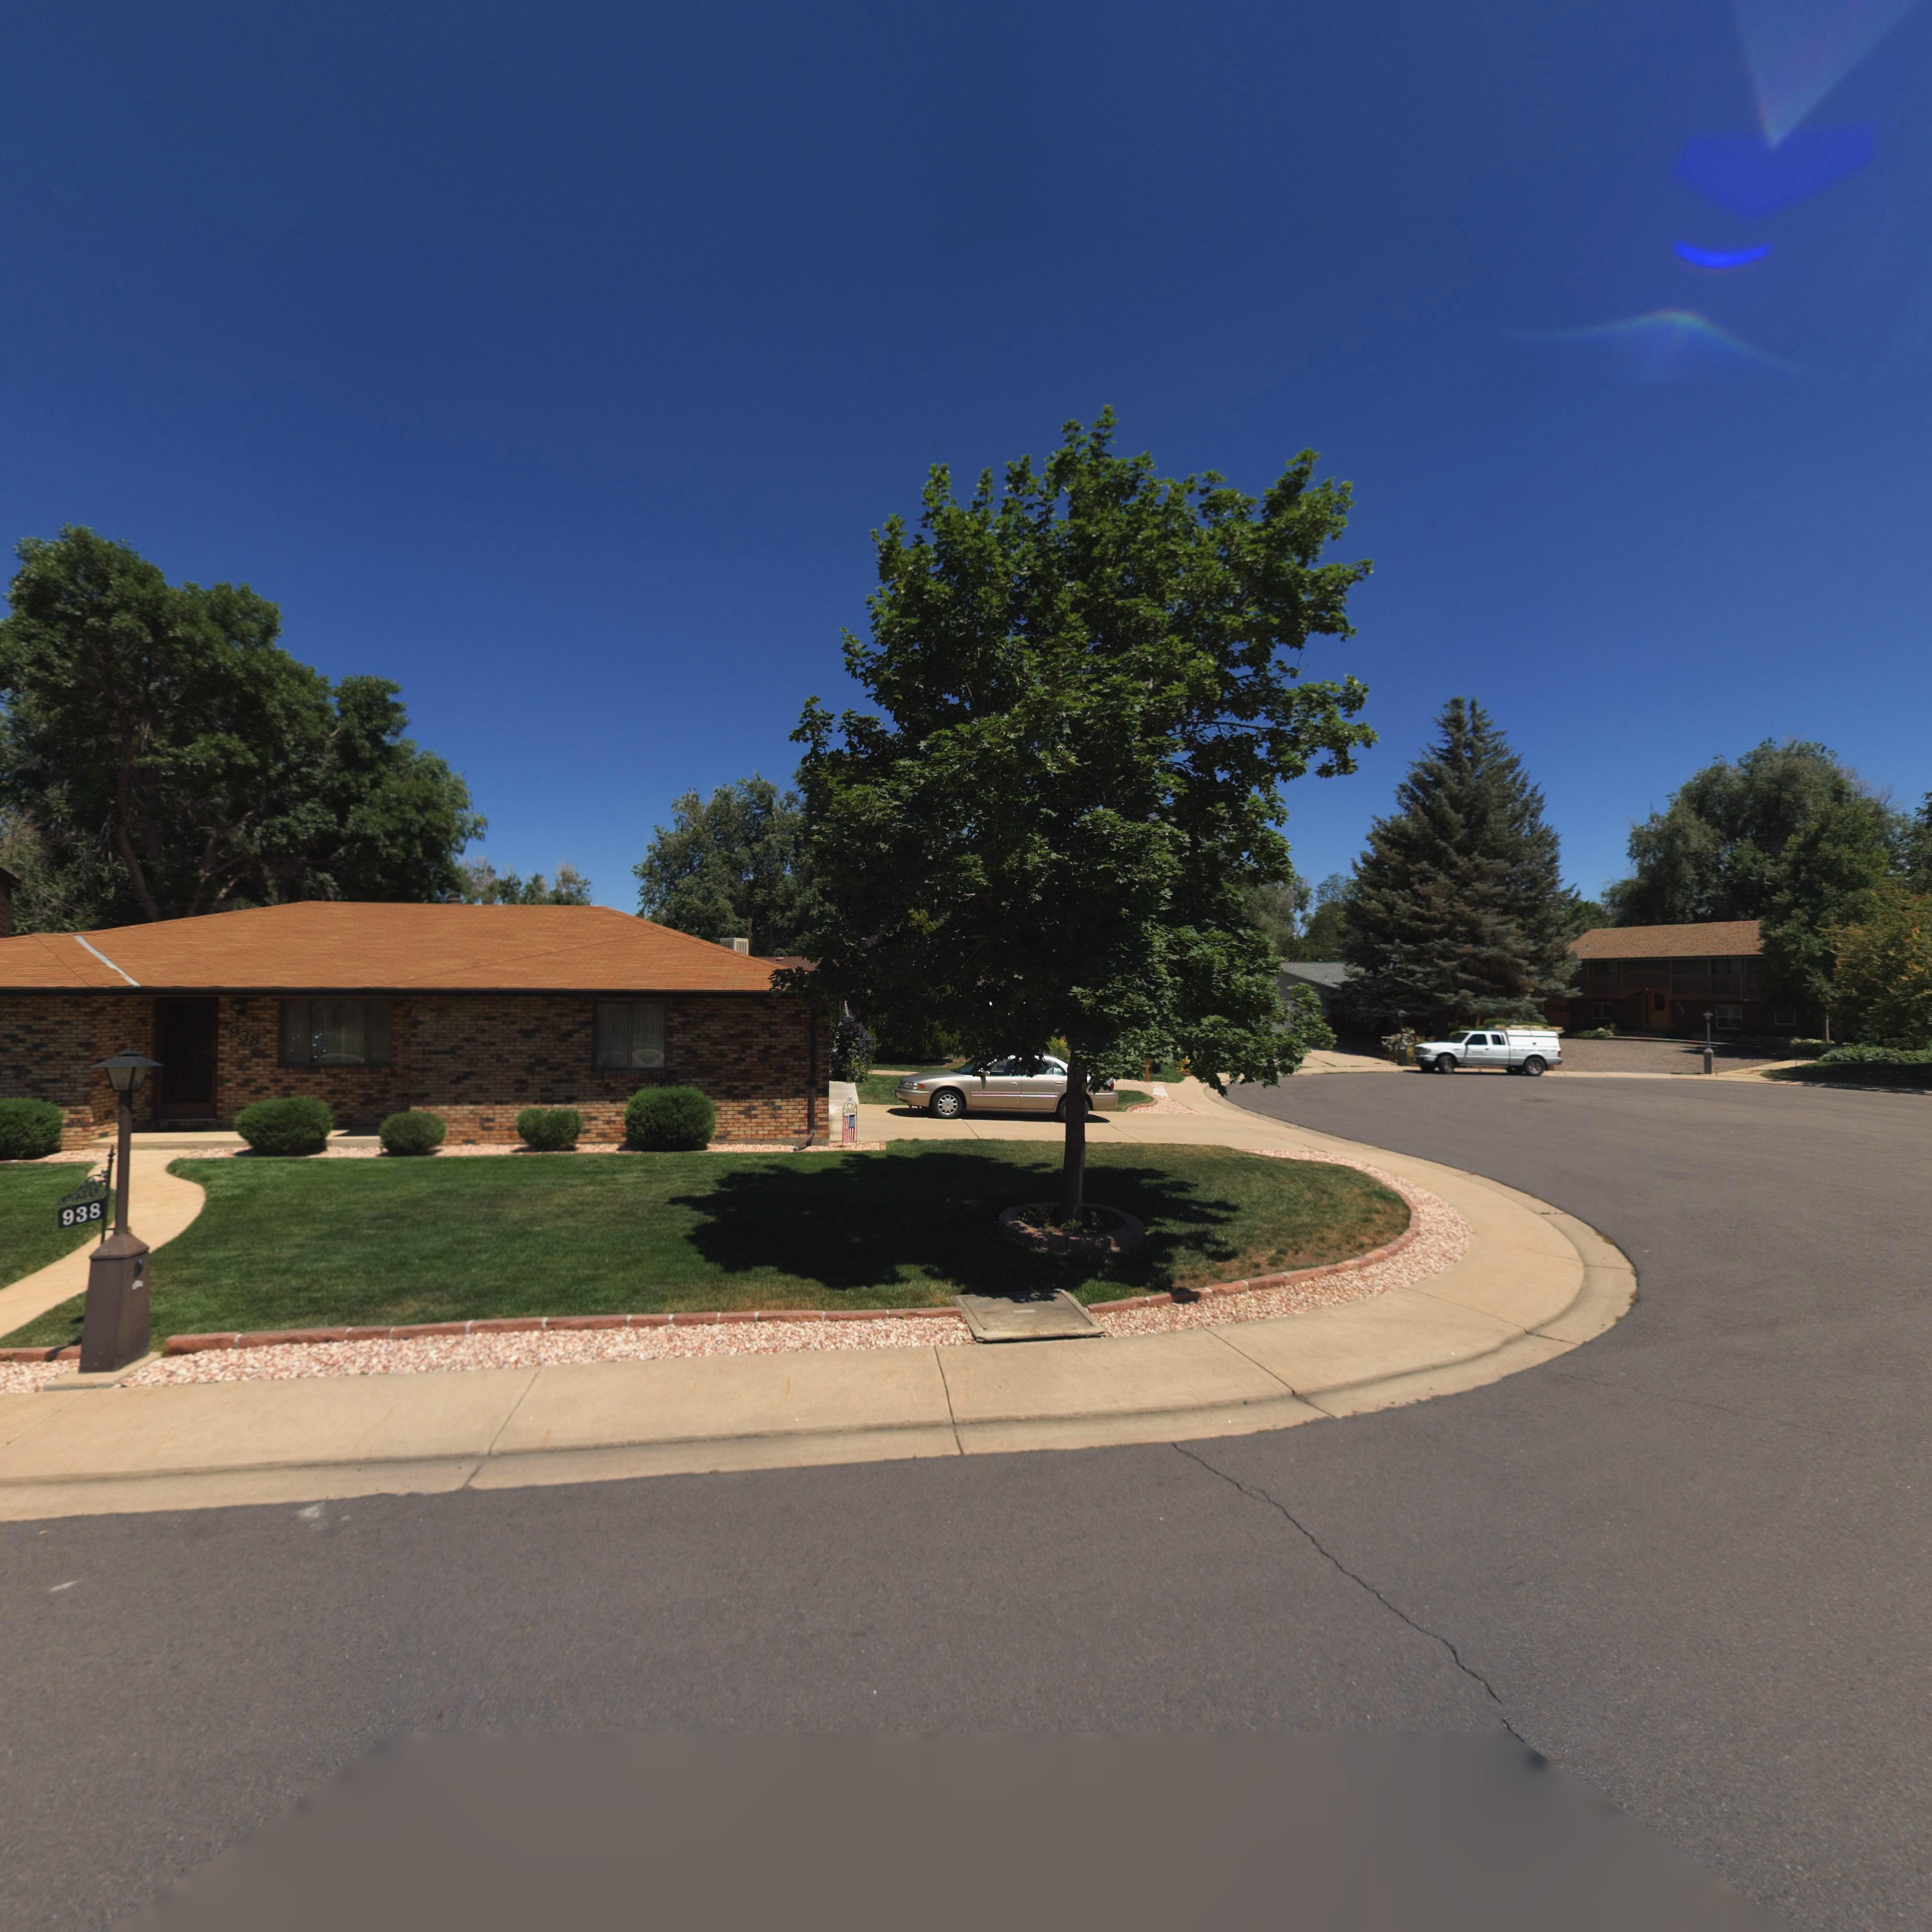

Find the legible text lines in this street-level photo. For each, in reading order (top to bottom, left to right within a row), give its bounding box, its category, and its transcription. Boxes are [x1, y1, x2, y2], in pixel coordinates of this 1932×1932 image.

[229, 1025, 260, 1045] StreetNumber: 938
[61, 1201, 103, 1227] StreetNumber: 938